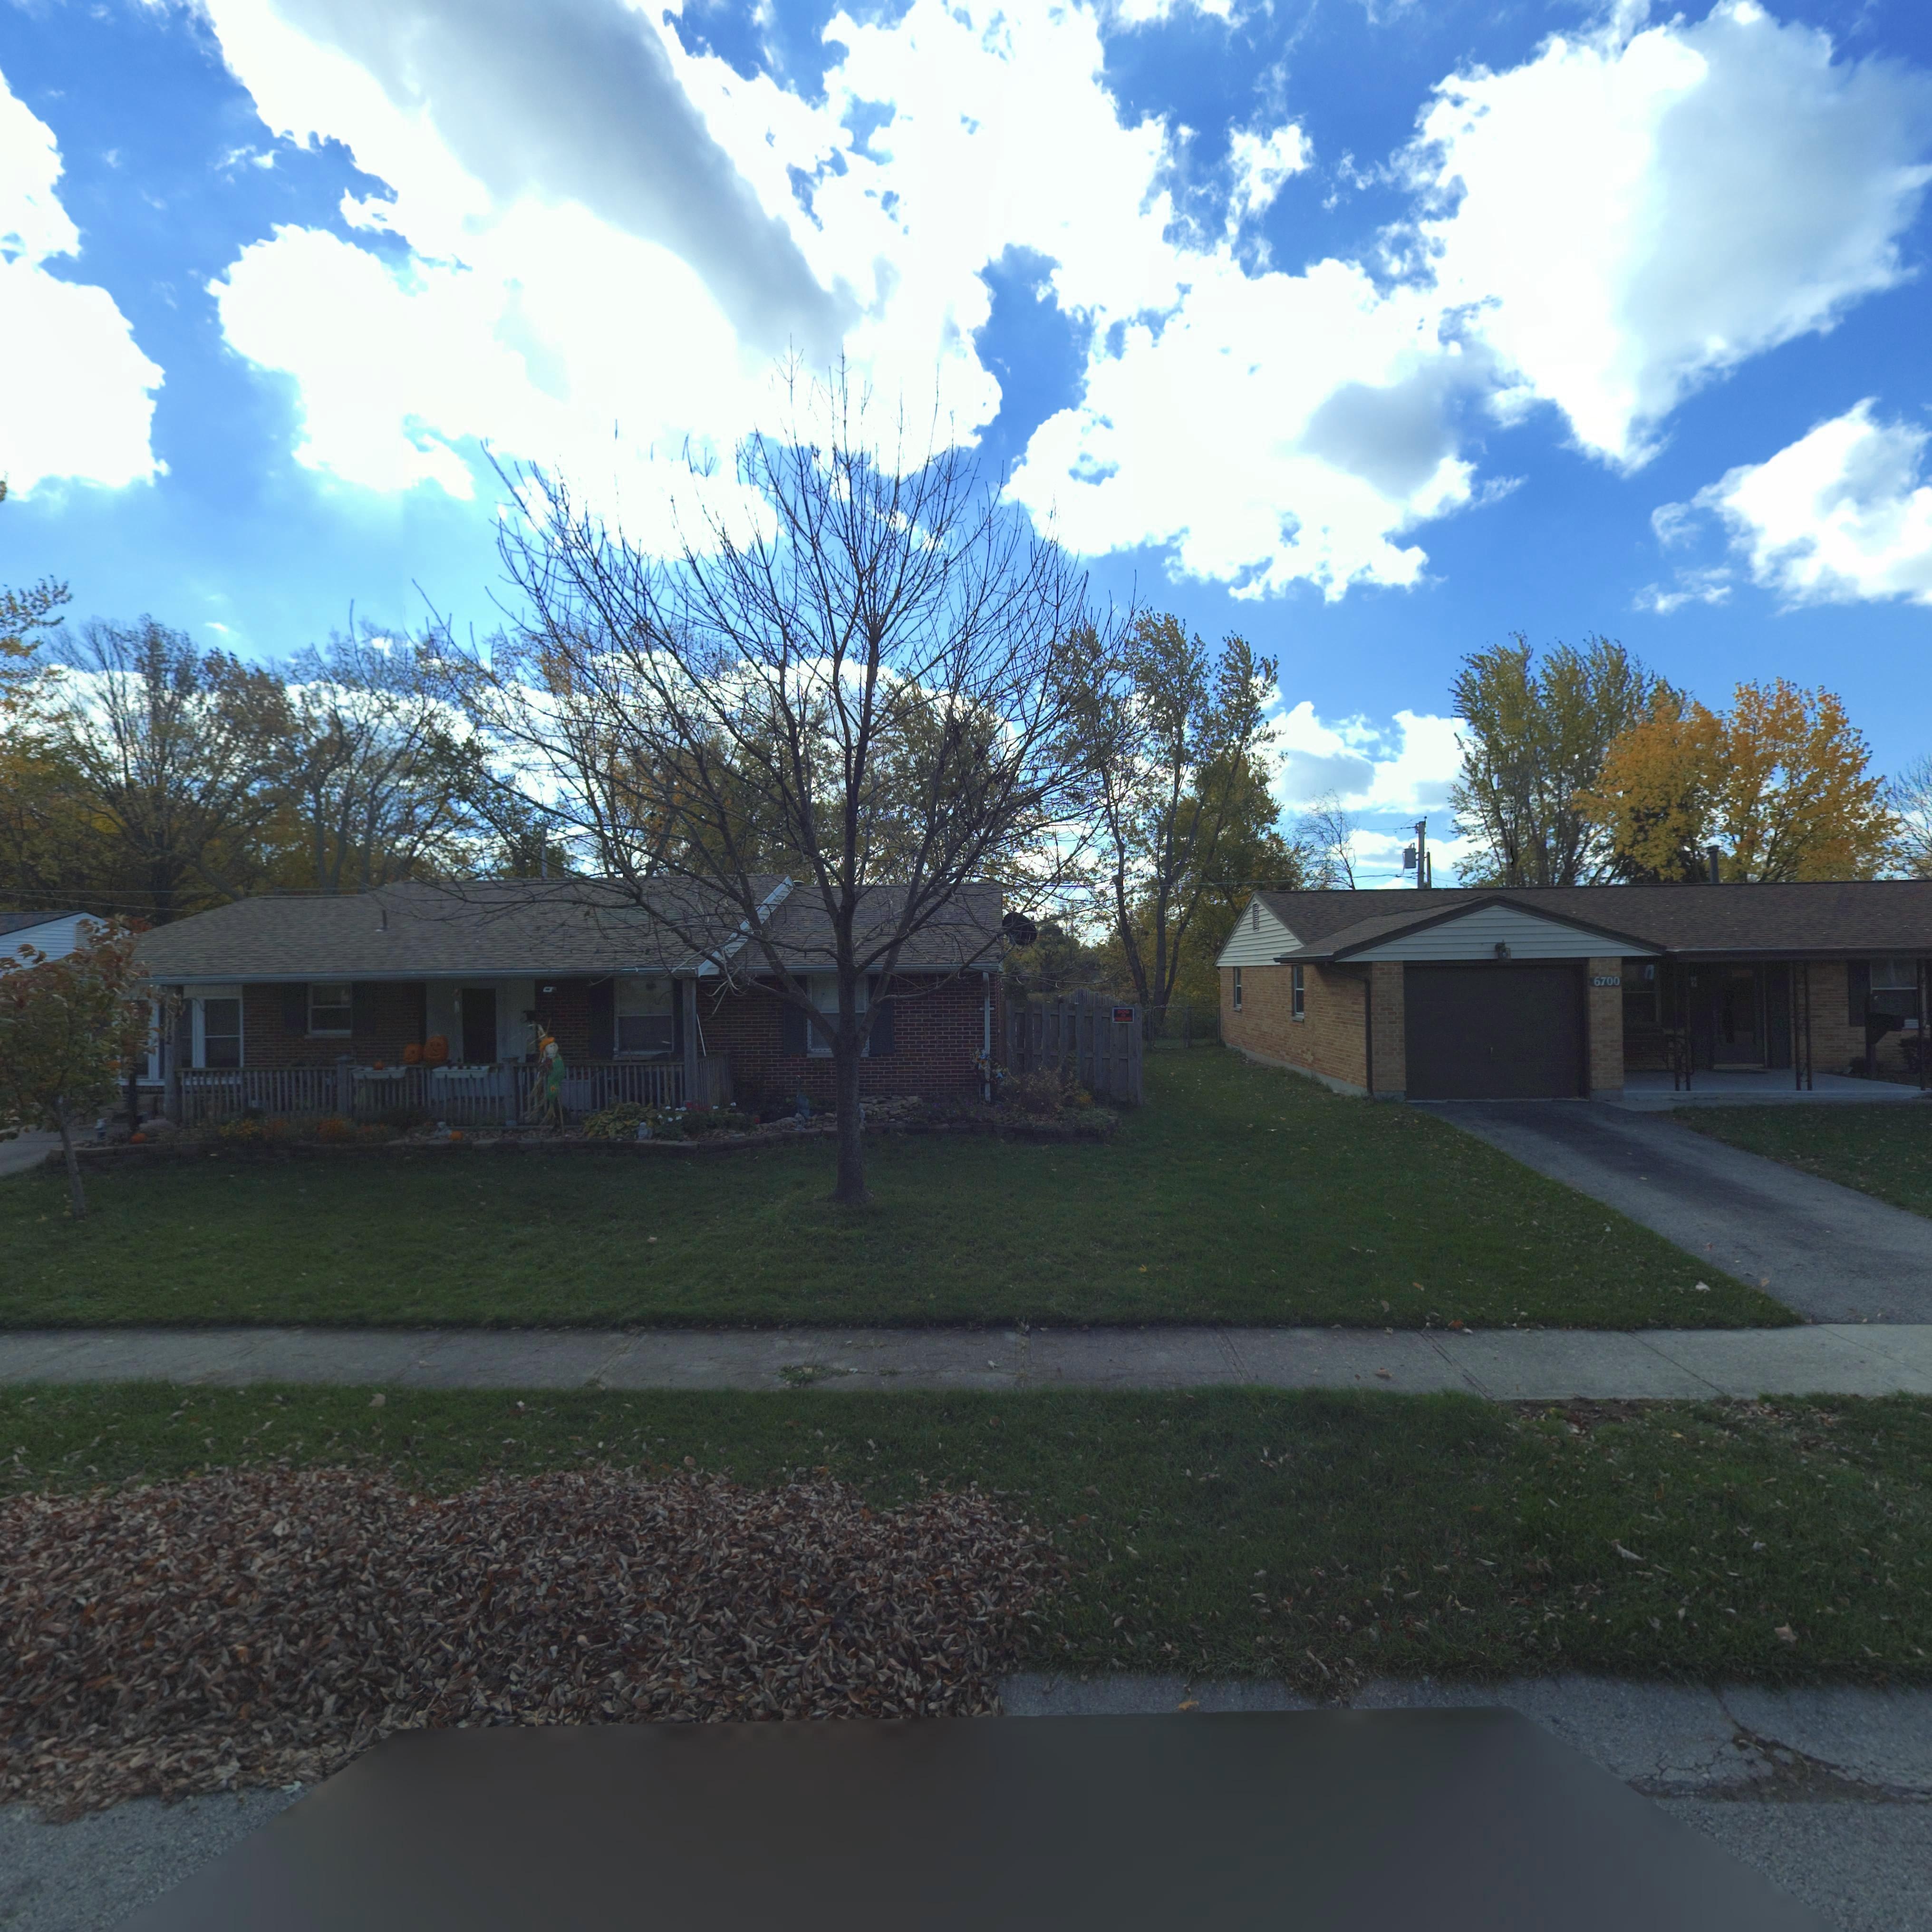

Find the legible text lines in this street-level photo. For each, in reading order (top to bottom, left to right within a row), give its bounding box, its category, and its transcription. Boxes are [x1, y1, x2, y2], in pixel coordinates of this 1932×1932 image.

[1593, 976, 1620, 986] StreetNumber: 6700
[165, 1014, 173, 1045] StreetNumber: 712